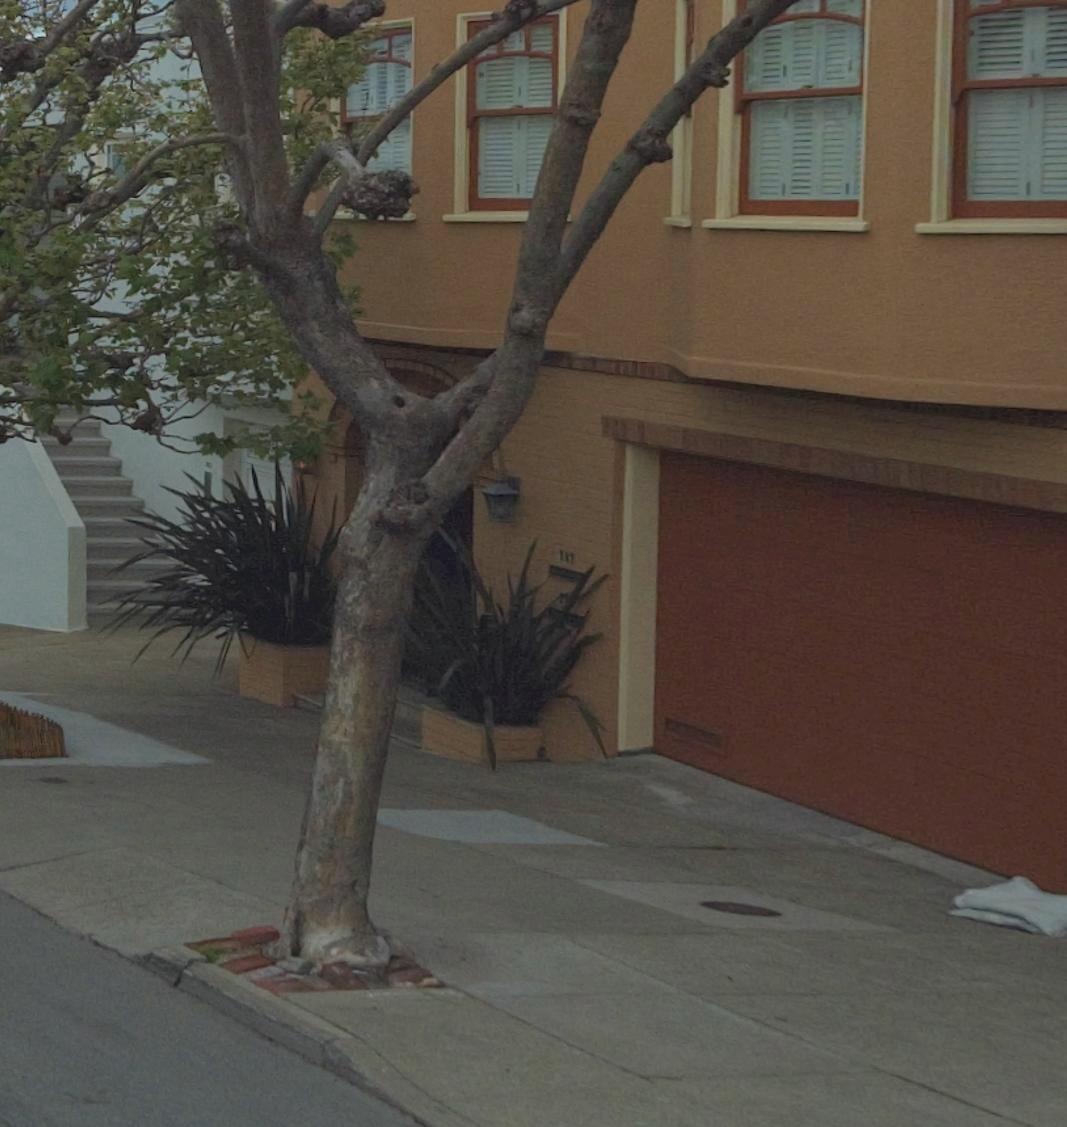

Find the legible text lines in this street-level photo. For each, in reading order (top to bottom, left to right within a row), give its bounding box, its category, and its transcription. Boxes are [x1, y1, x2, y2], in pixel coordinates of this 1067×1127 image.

[558, 550, 575, 566] StreetNumber: 787